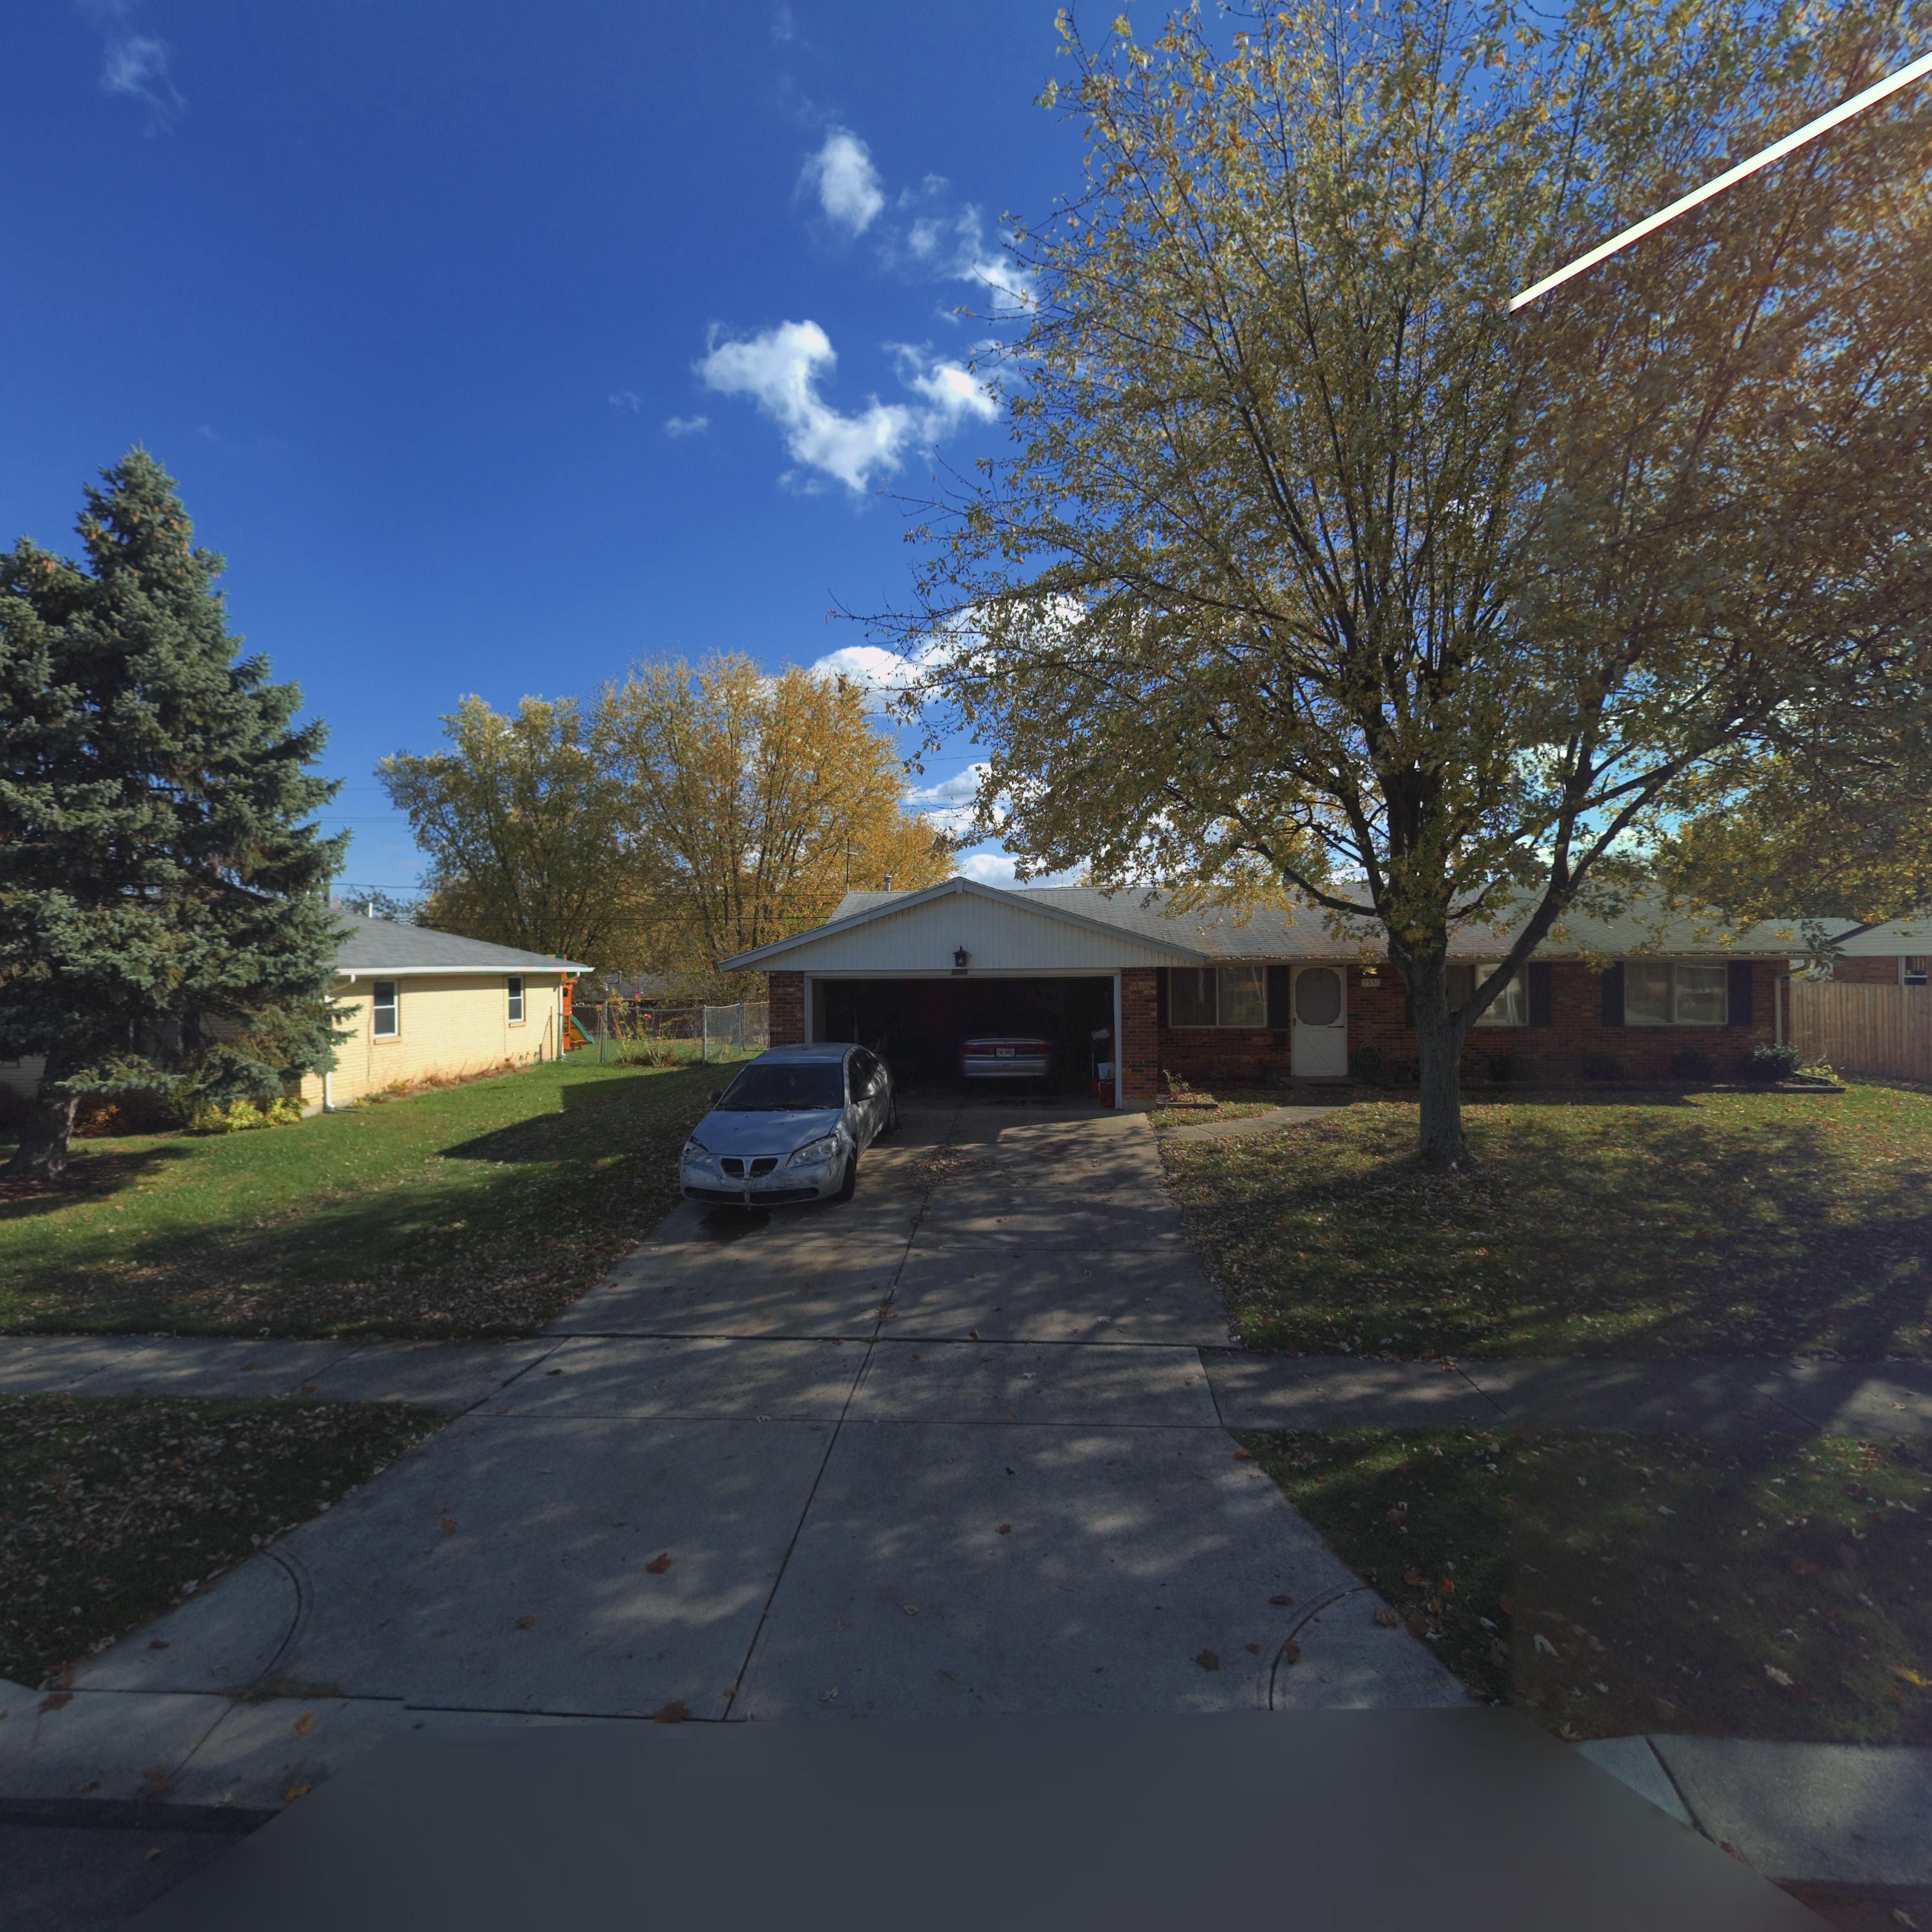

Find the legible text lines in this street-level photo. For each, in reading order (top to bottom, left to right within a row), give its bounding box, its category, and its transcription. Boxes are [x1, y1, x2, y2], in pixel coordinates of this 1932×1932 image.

[1362, 978, 1379, 987] StreetNumber: 7551